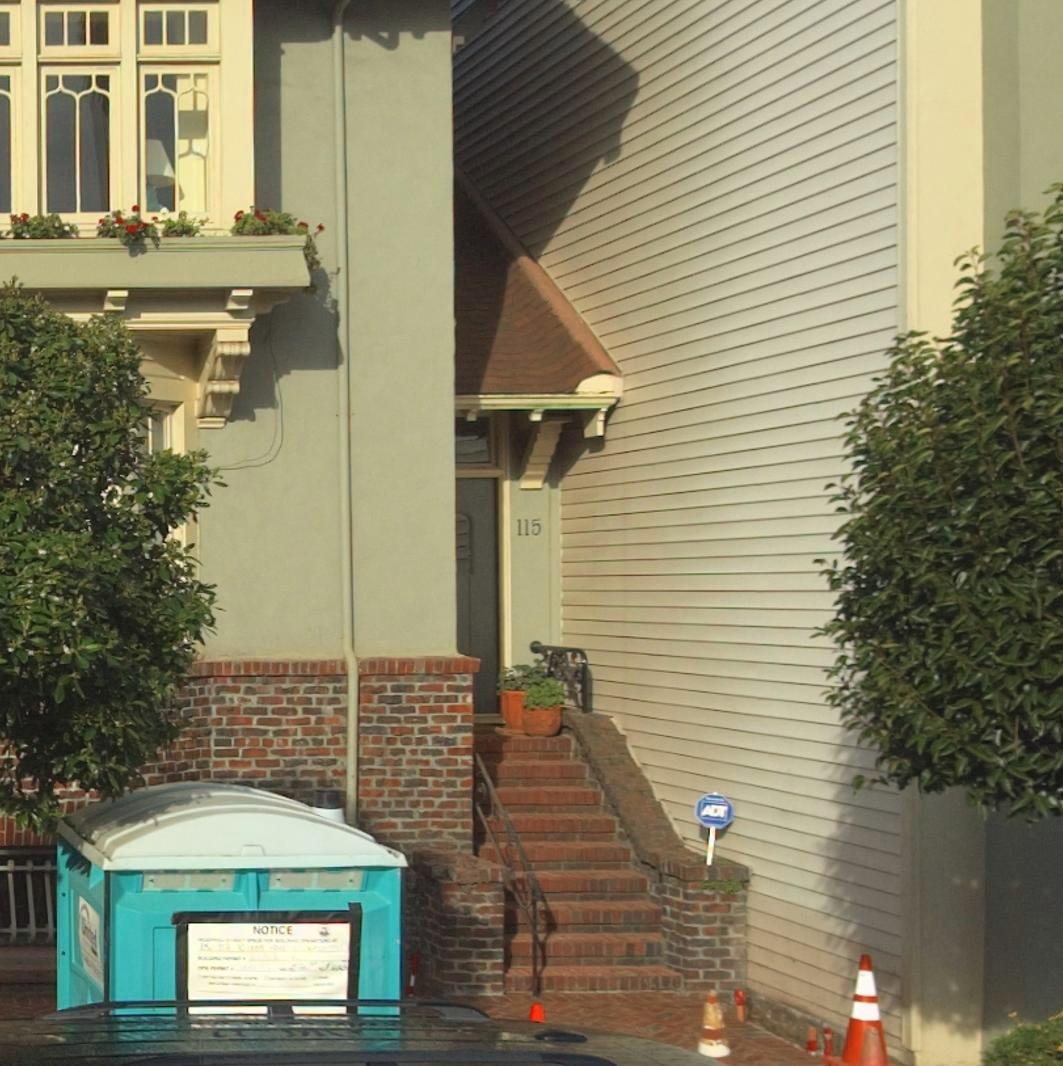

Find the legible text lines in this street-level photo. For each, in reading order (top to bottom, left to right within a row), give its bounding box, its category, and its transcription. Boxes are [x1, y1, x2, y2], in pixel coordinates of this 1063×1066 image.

[515, 515, 544, 539] StreetNumber: 115
[697, 802, 731, 821] None: ADT
[250, 922, 295, 938] None: NOTICE